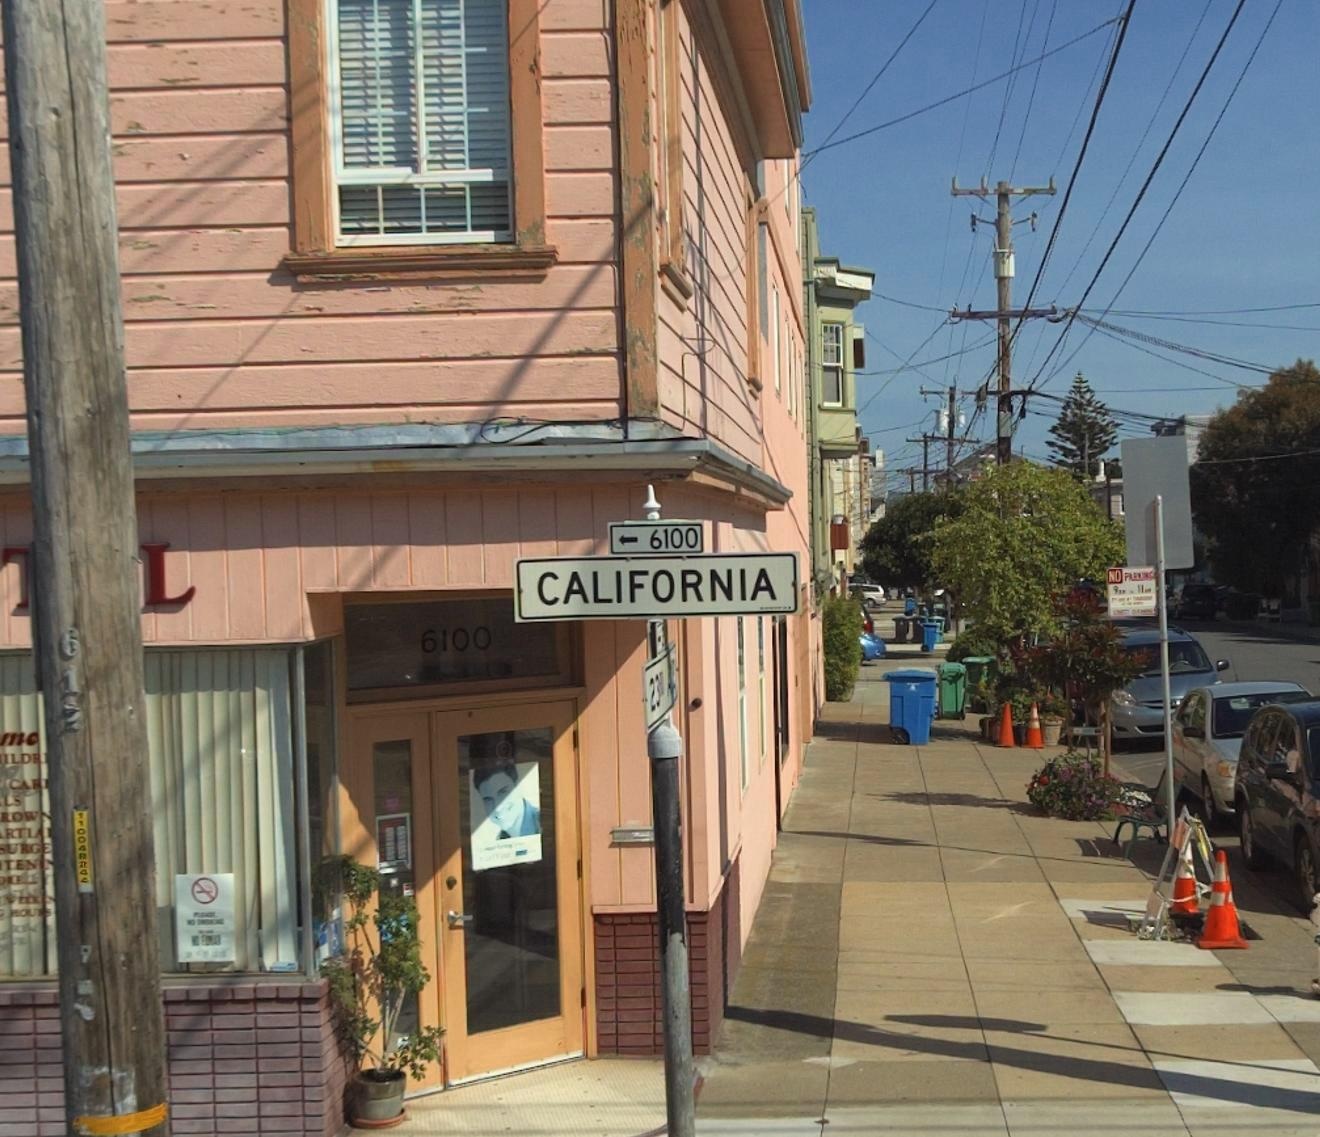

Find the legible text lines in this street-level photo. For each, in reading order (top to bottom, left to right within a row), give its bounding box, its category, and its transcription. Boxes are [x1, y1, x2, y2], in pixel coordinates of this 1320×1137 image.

[610, 525, 700, 550] StreetNumberRange: <-6100
[136, 537, 204, 610] None: L
[537, 561, 780, 608] StreetName: CALIFORNIA
[1111, 585, 1129, 595] None: 9AM
[1107, 566, 1157, 584] None: NO PARKING
[1136, 583, 1153, 594] None: 11AM
[57, 625, 89, 698] None: 61
[416, 626, 492, 653] StreetNumber: 6100
[646, 669, 667, 719] StreetName: 23*
[72, 809, 91, 885] None: 110048*66